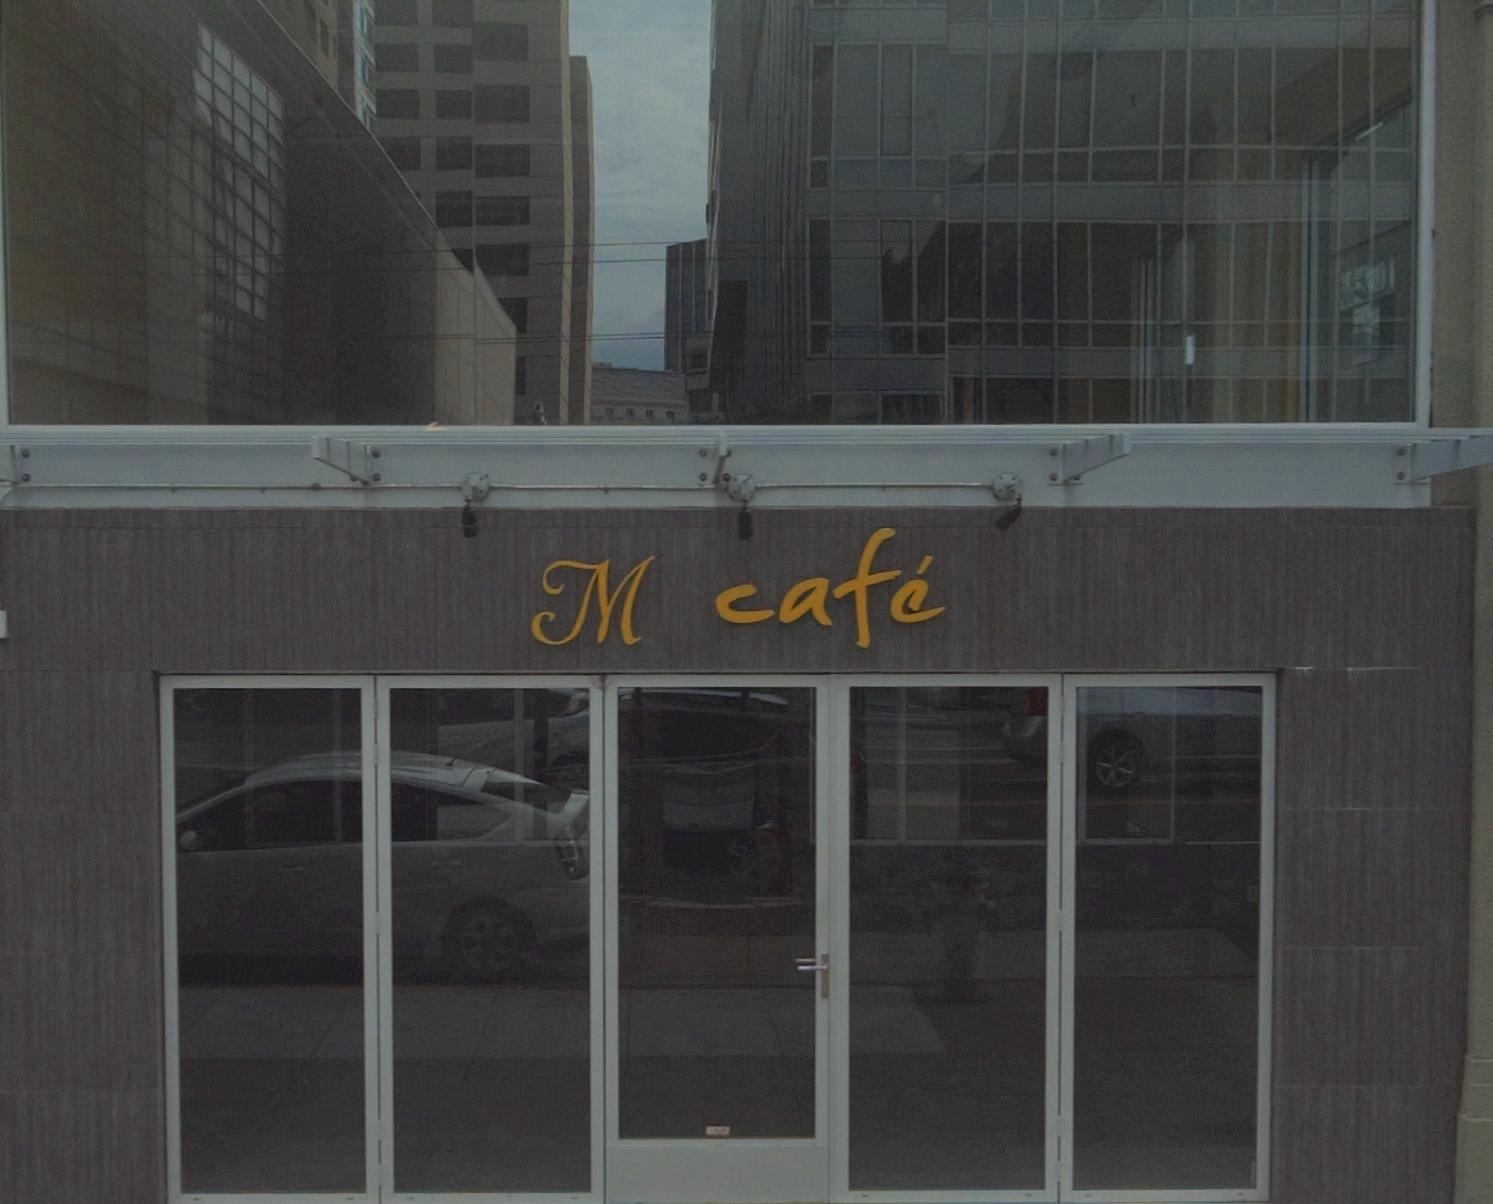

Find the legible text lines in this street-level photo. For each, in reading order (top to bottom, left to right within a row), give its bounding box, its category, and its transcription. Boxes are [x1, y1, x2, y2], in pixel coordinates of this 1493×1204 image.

[522, 520, 954, 653] BusinessName: M cafe